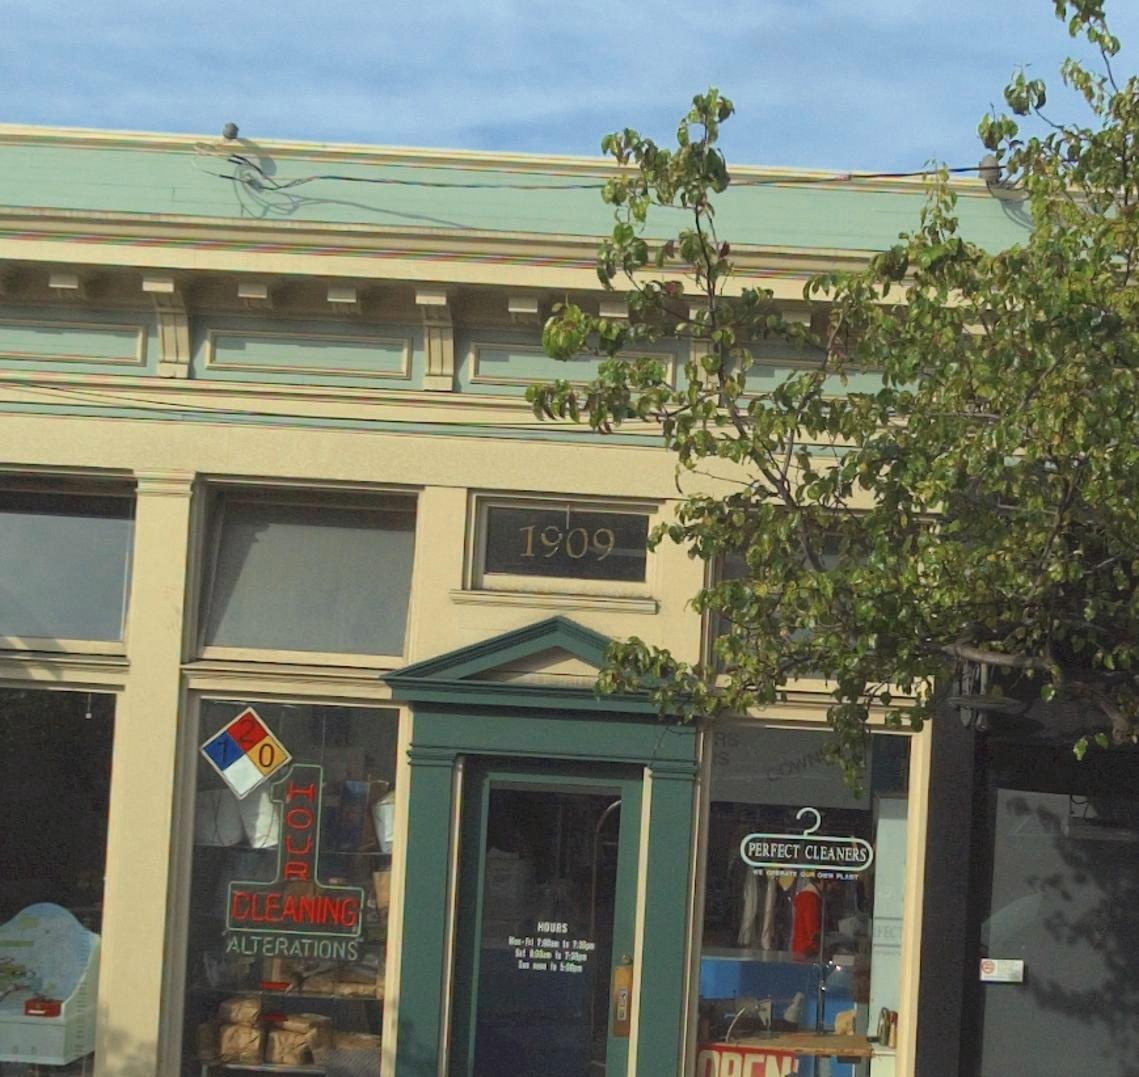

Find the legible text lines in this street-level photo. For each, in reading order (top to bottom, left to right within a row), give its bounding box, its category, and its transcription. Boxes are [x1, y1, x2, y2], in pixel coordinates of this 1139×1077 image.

[515, 521, 619, 565] StreetNumber: 1909
[234, 715, 258, 745] None: 2
[215, 735, 230, 765] None: 1
[256, 740, 276, 771] None: 0
[280, 778, 317, 887] None: HOUR
[745, 838, 869, 864] BusinessName: PERFECT CLEANERS
[229, 887, 362, 930] None: CLEANING
[535, 918, 571, 936] None: HOURS
[221, 932, 361, 964] None: ALTERATIONS